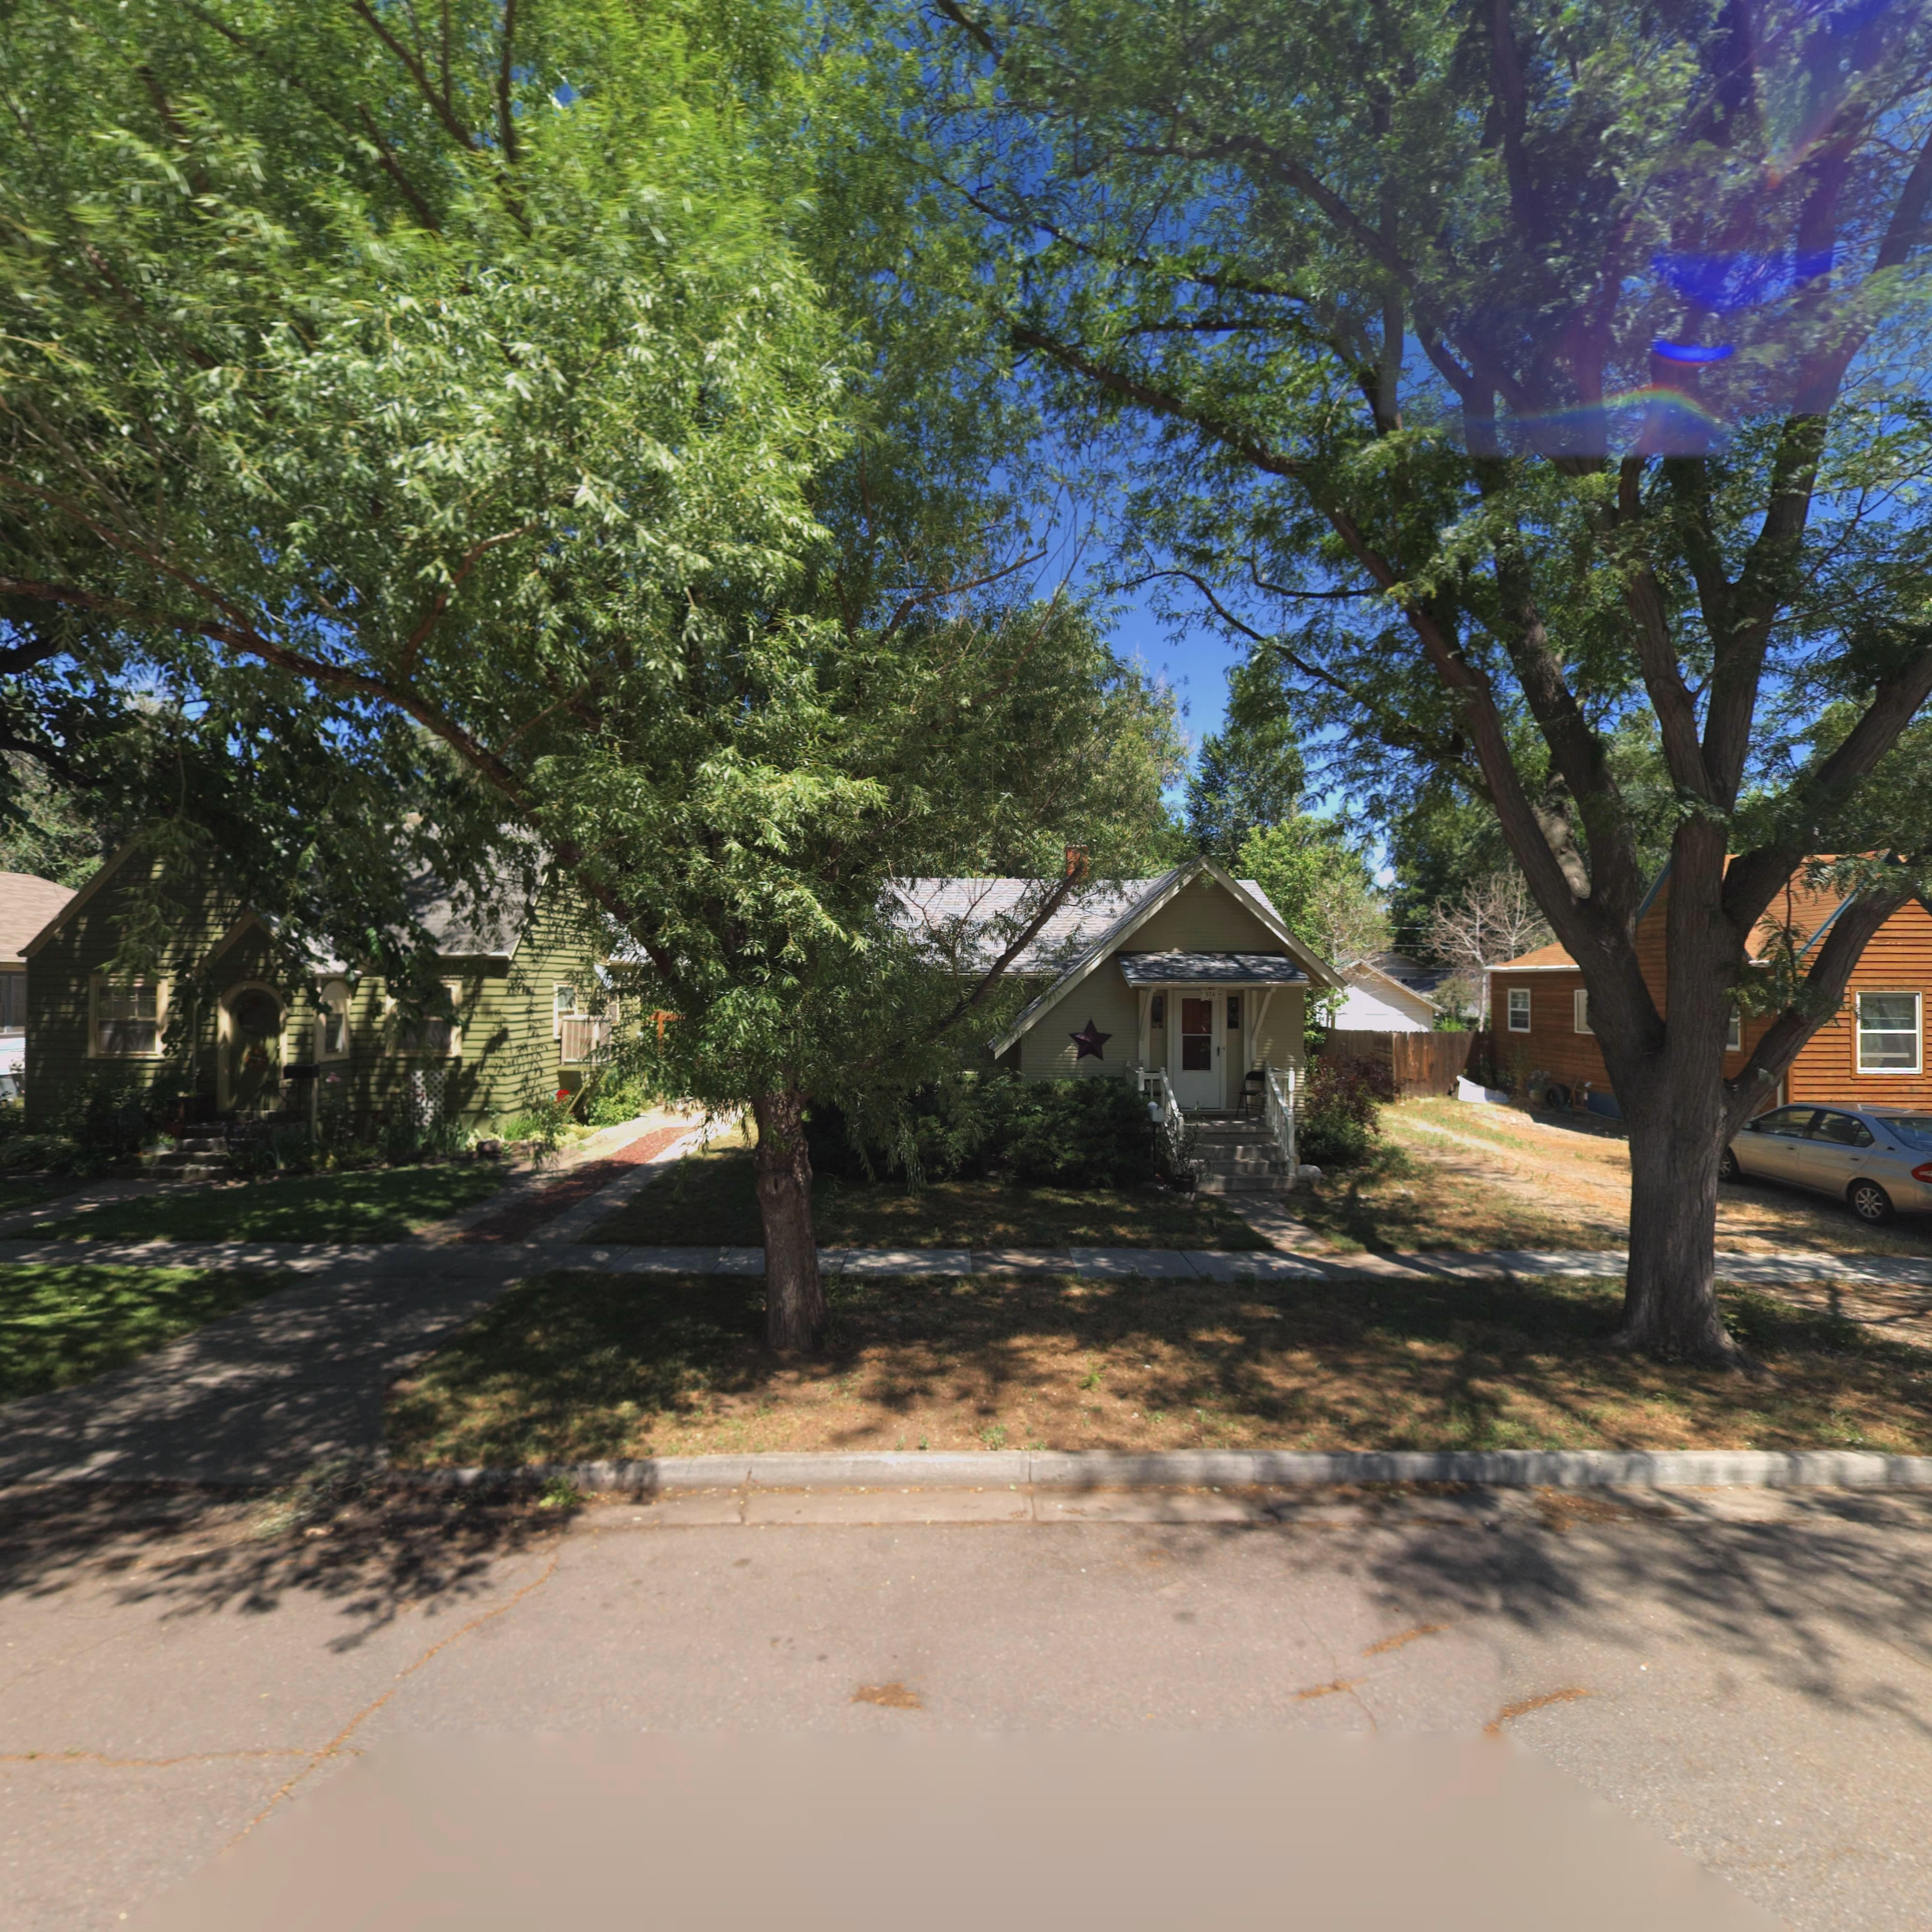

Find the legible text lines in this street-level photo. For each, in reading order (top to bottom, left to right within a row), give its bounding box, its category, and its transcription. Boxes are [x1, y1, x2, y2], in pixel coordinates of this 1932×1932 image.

[1205, 991, 1216, 997] StreetNumber: 924